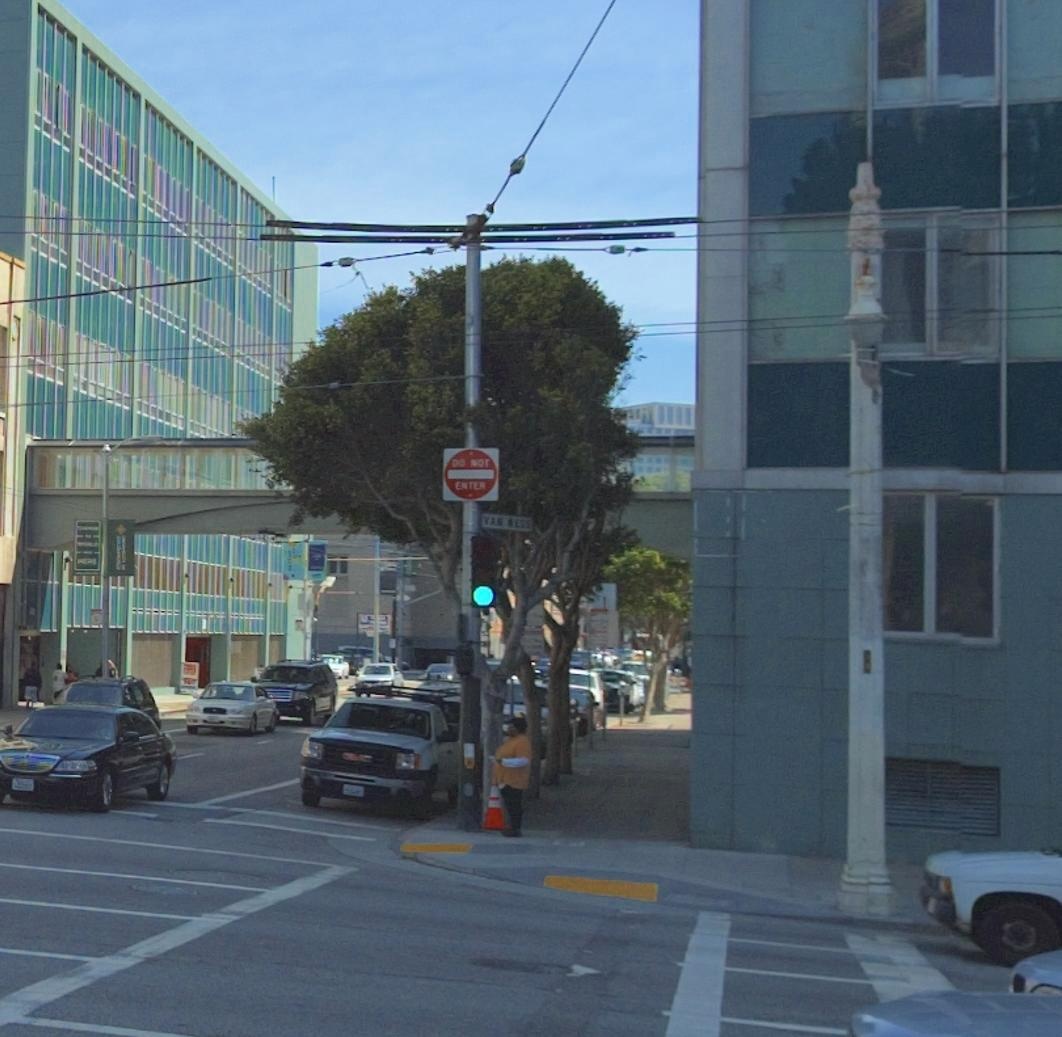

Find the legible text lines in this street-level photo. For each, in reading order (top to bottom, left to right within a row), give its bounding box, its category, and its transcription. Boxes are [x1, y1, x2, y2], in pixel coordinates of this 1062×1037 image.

[450, 458, 491, 468] None: DO NOT
[452, 480, 487, 490] None: ENTER
[483, 515, 532, 530] StreetName: VAN NESS